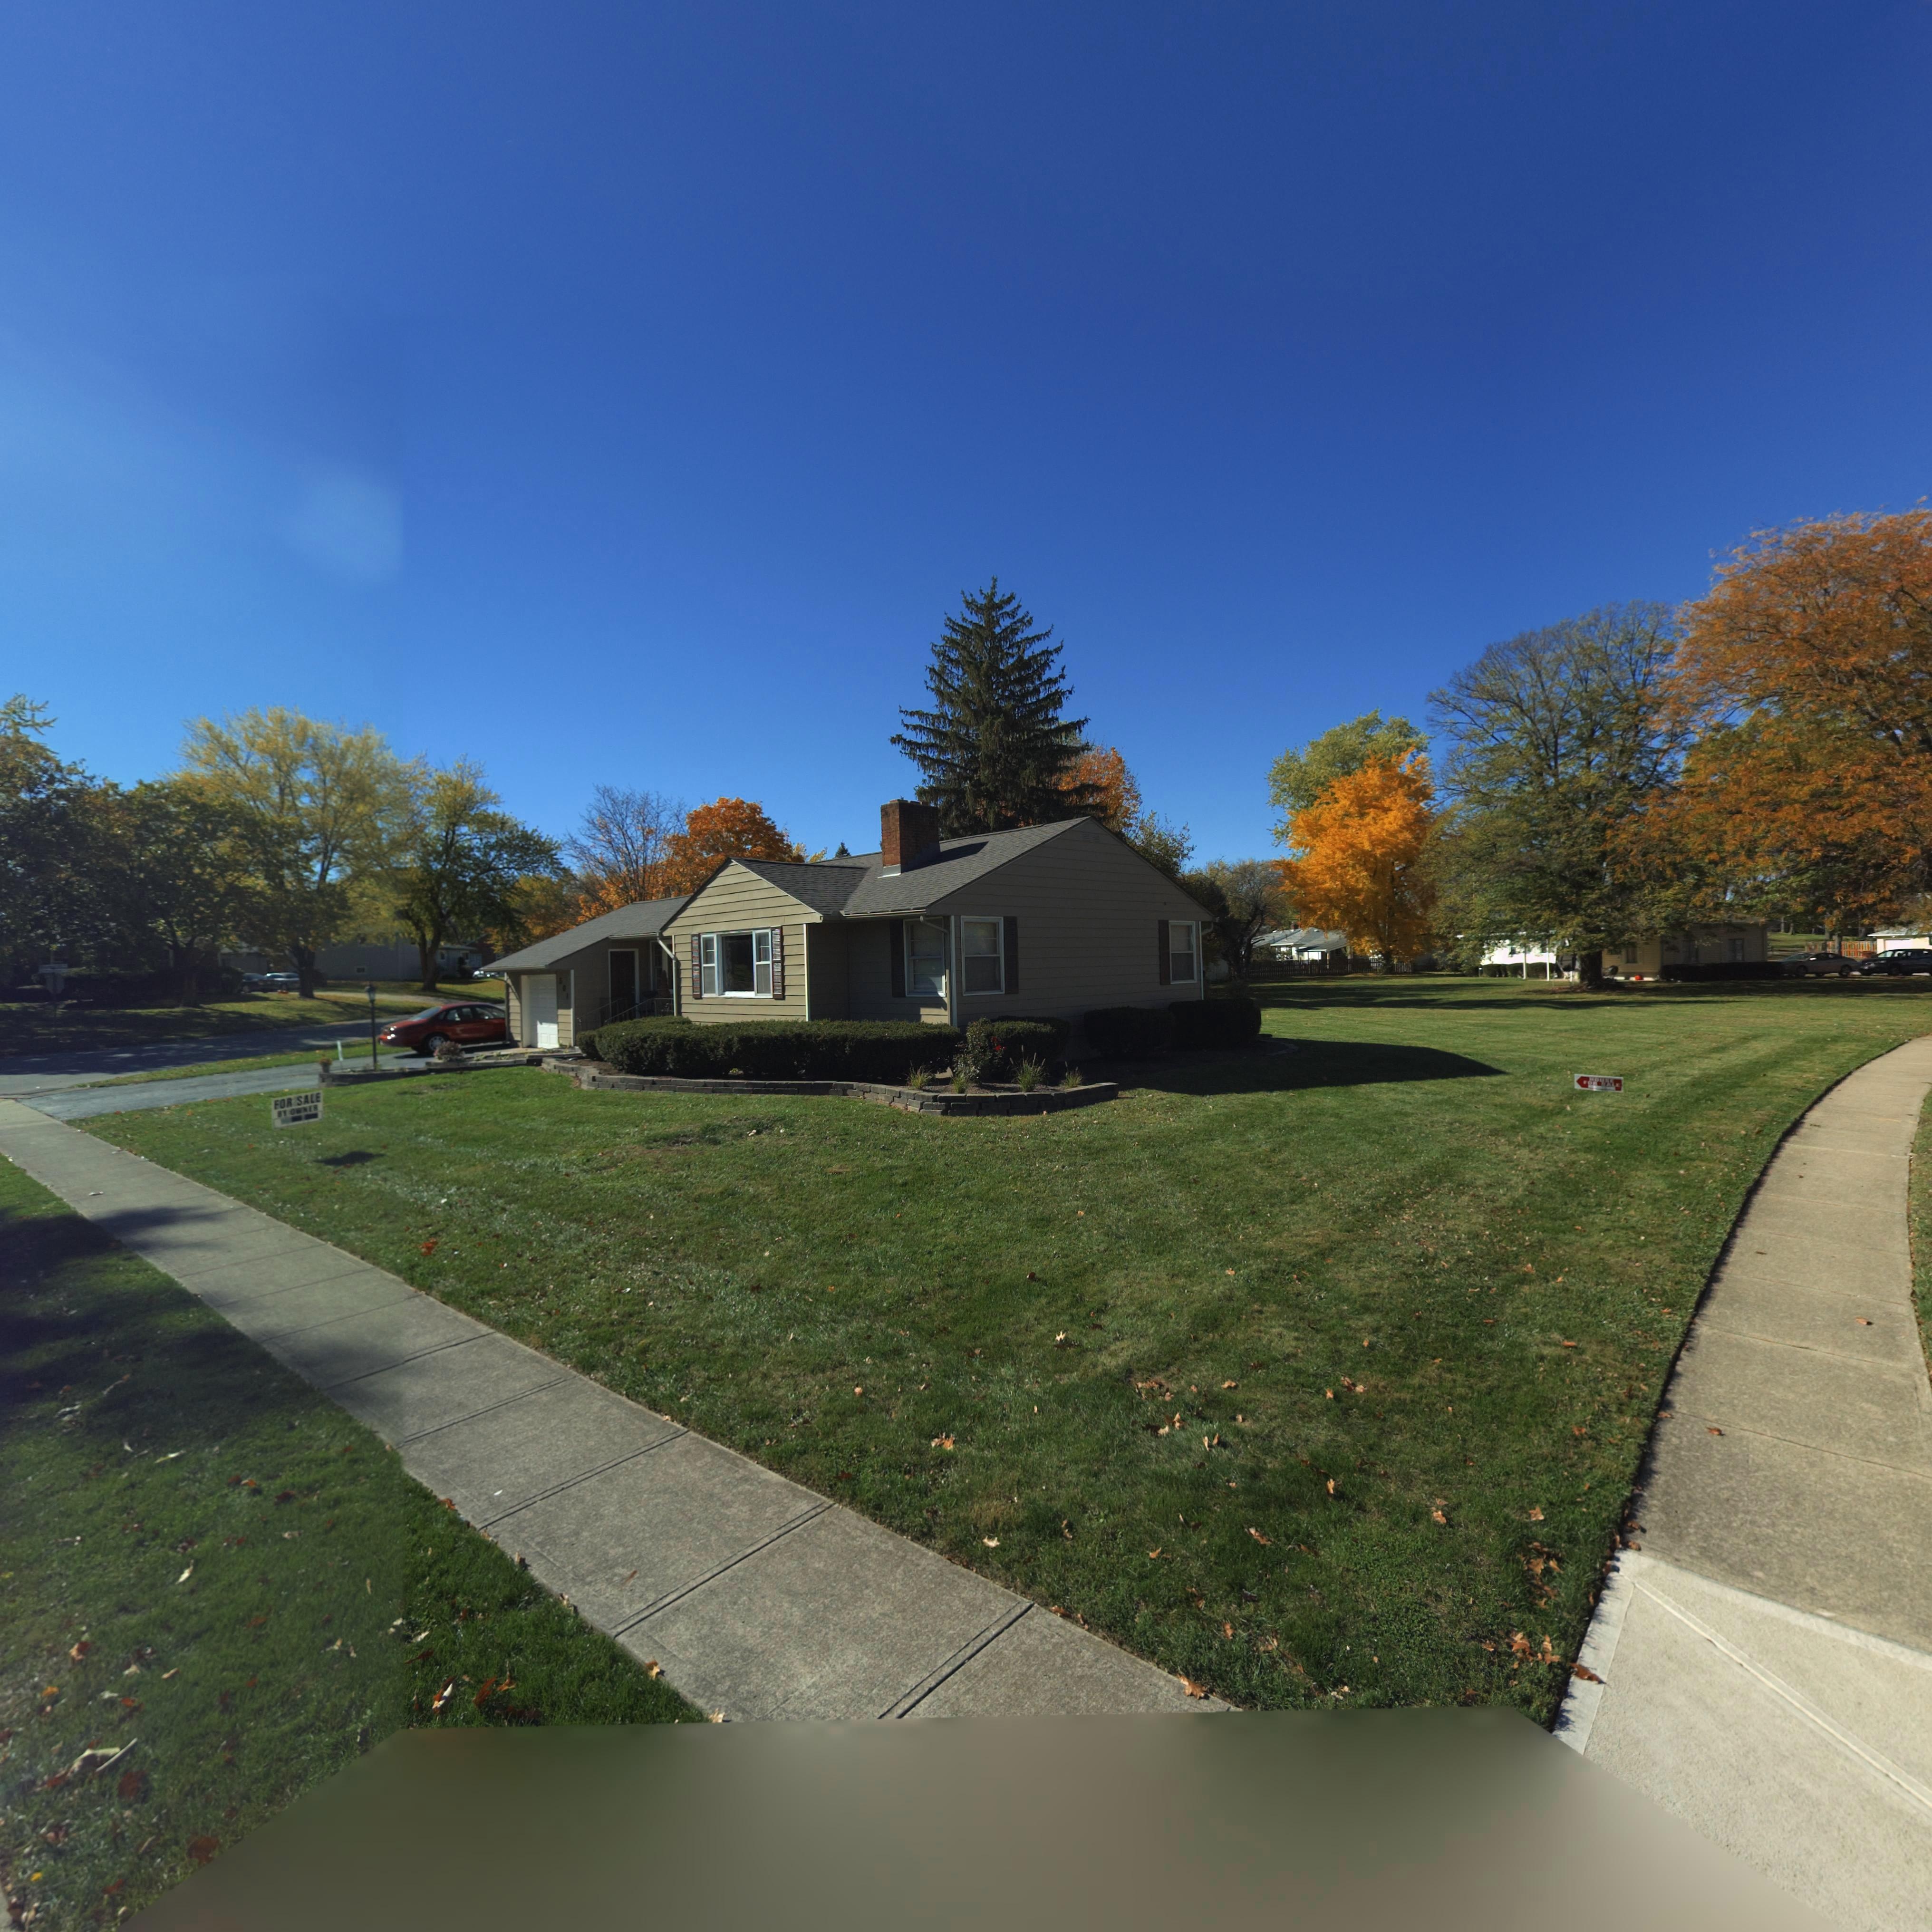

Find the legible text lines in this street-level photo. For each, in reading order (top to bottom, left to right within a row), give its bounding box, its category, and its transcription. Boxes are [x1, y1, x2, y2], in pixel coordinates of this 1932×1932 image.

[558, 977, 569, 1000] StreetNumber: 501